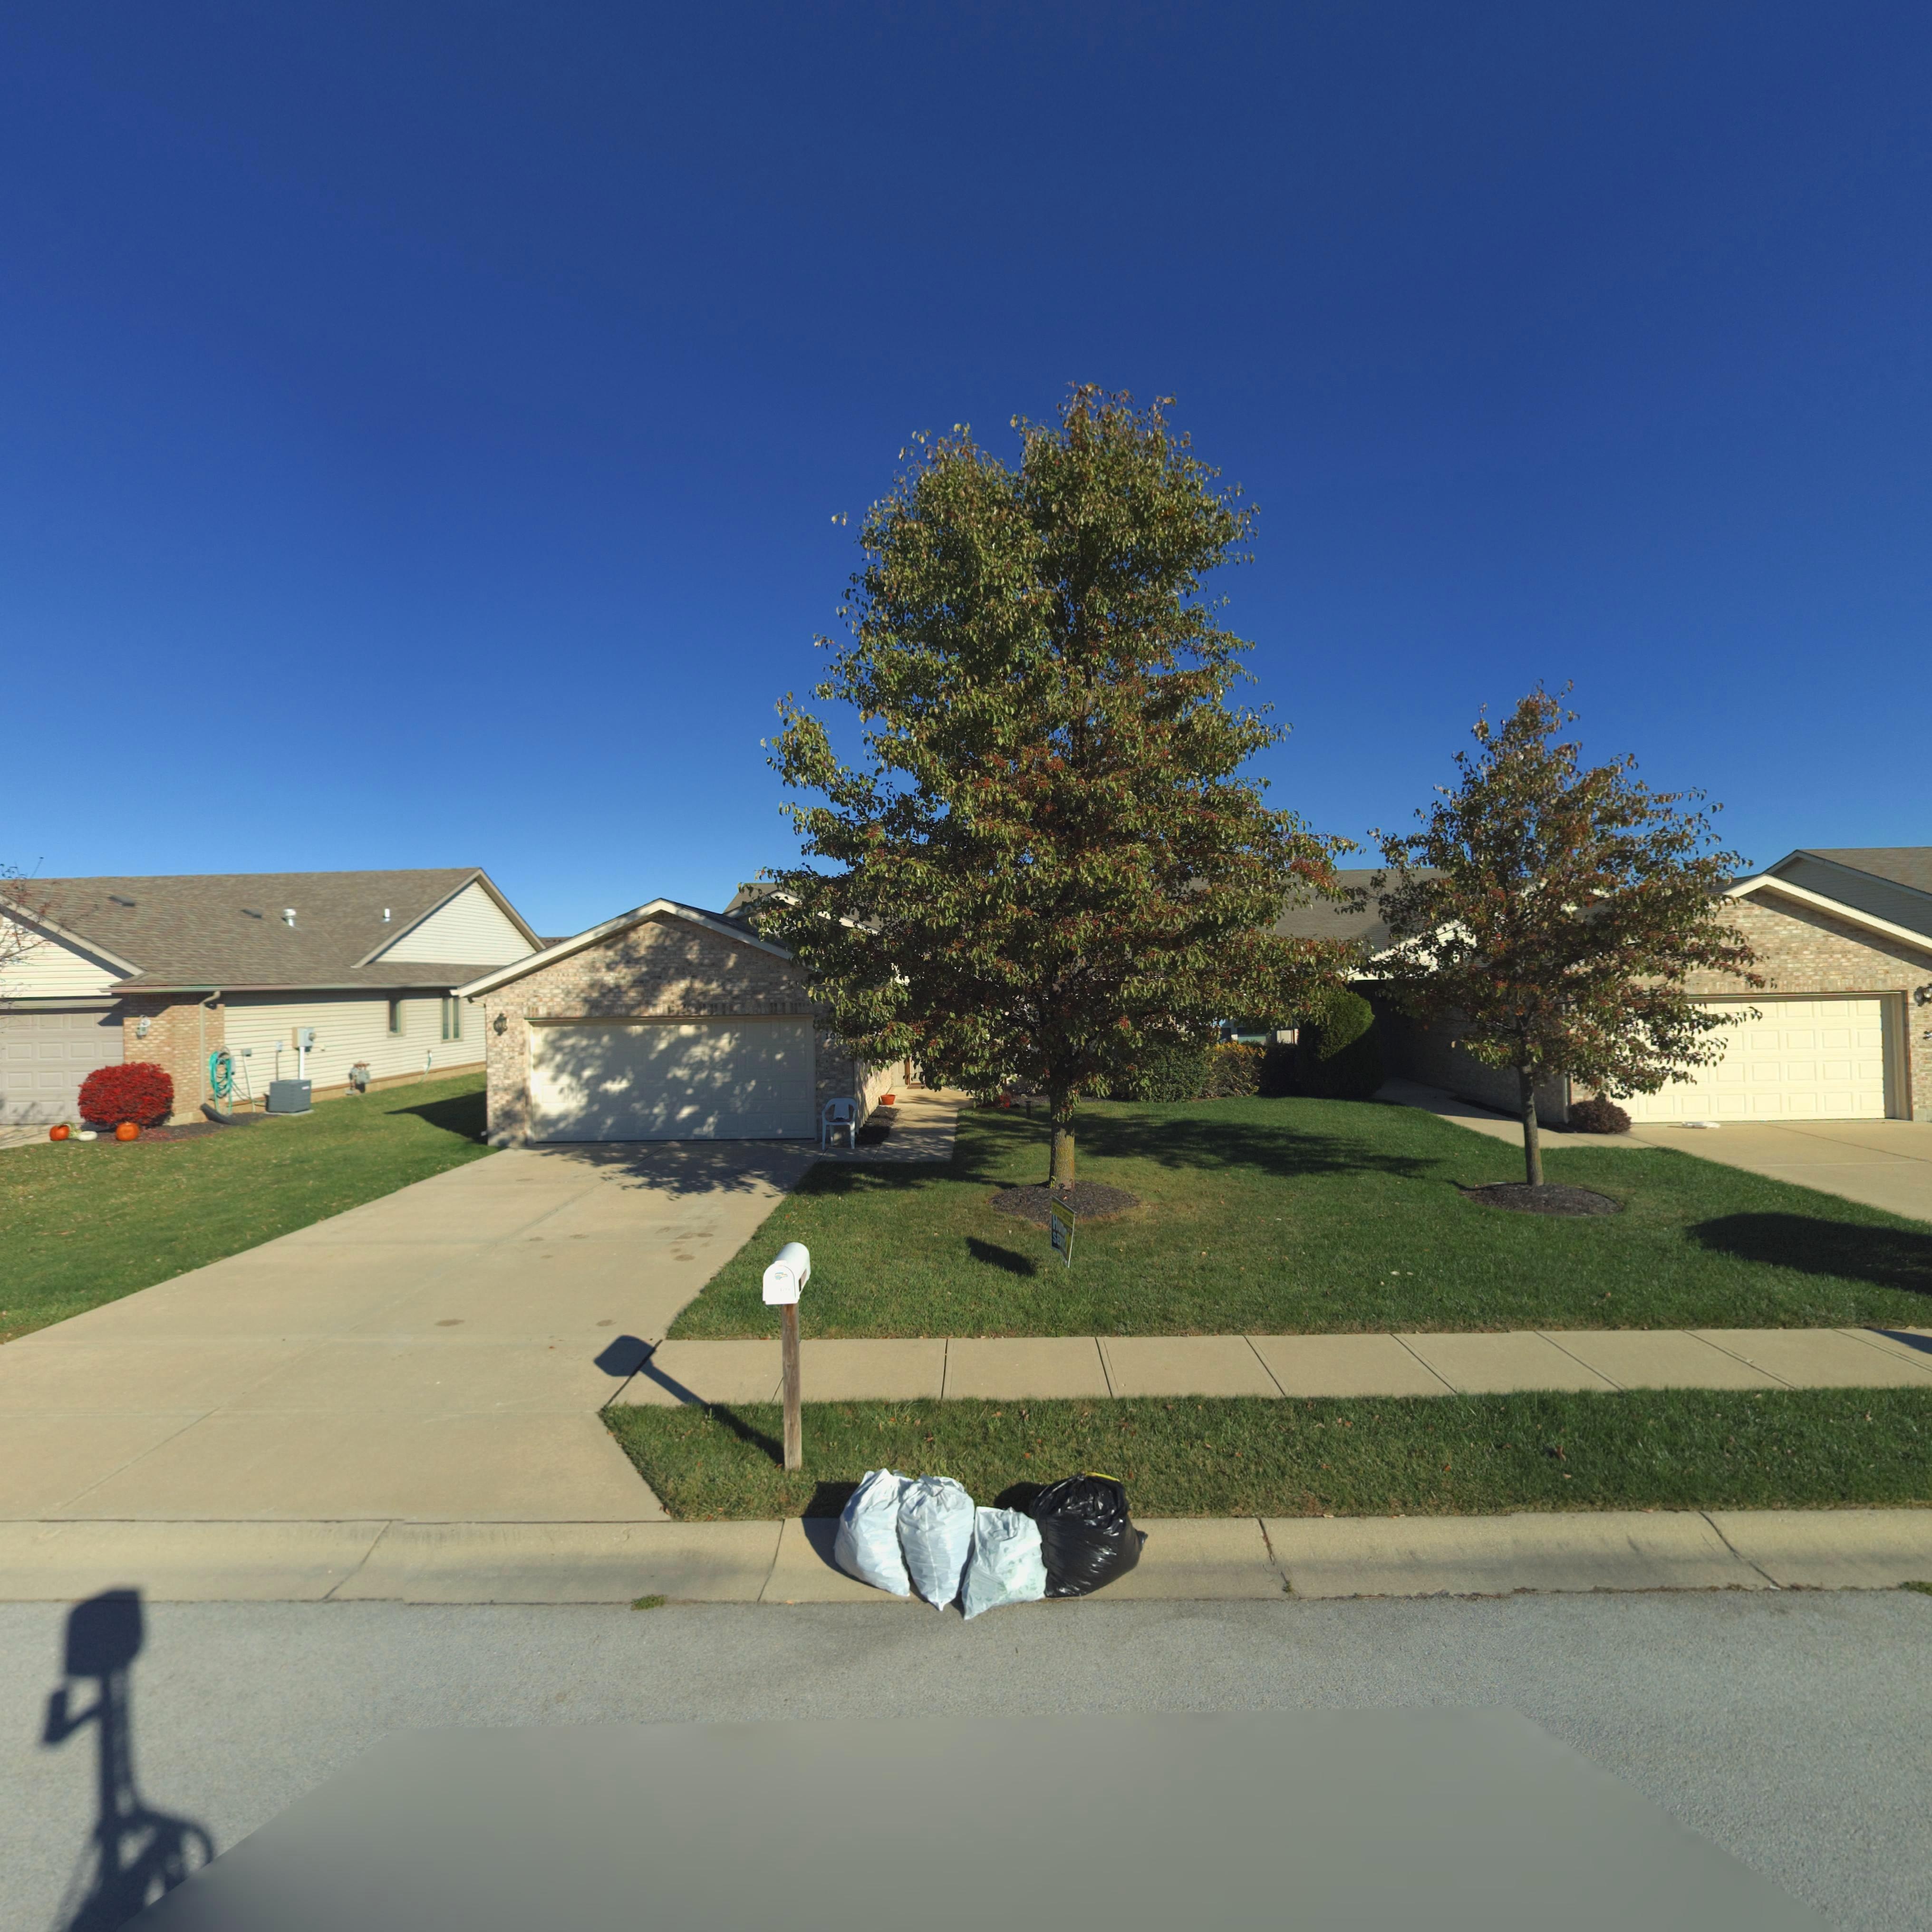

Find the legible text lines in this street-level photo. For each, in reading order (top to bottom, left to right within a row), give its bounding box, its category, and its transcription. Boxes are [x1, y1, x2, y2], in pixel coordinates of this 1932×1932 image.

[824, 1032, 836, 1040] StreetNumber: 10